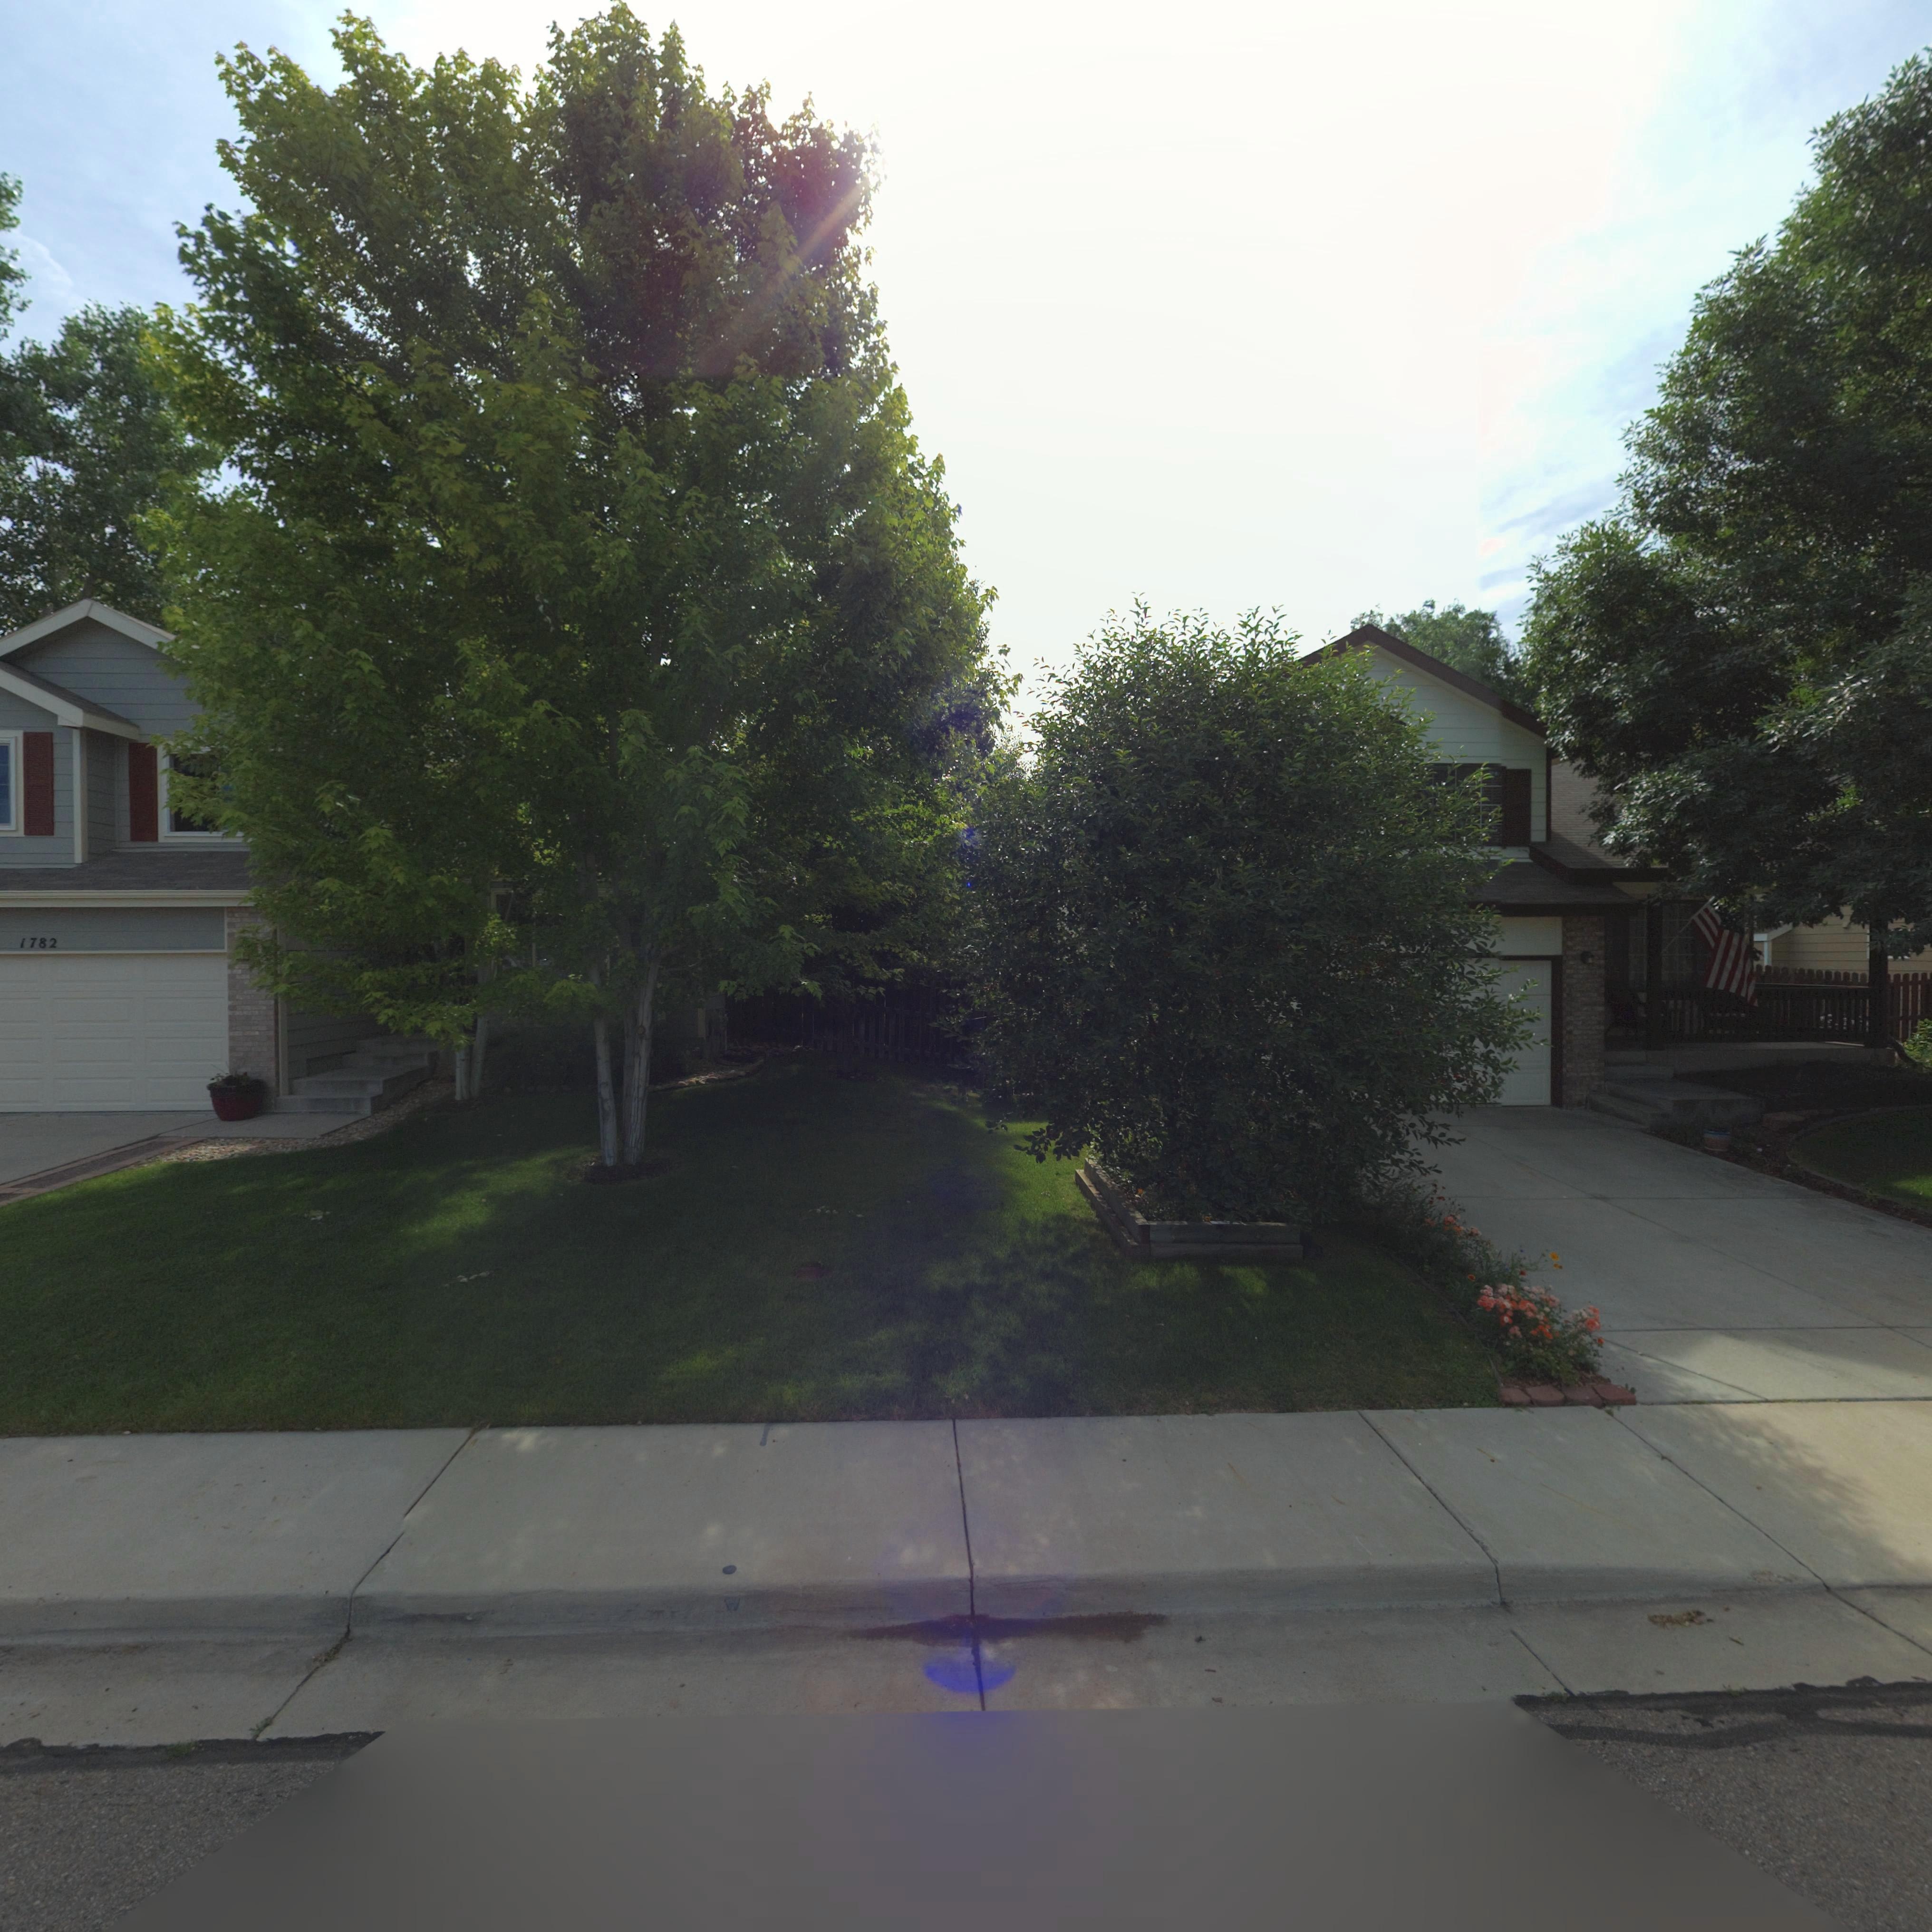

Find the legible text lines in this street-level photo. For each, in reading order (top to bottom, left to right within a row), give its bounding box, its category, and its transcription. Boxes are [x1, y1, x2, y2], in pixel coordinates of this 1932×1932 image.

[19, 937, 58, 949] StreetNumber: 1782